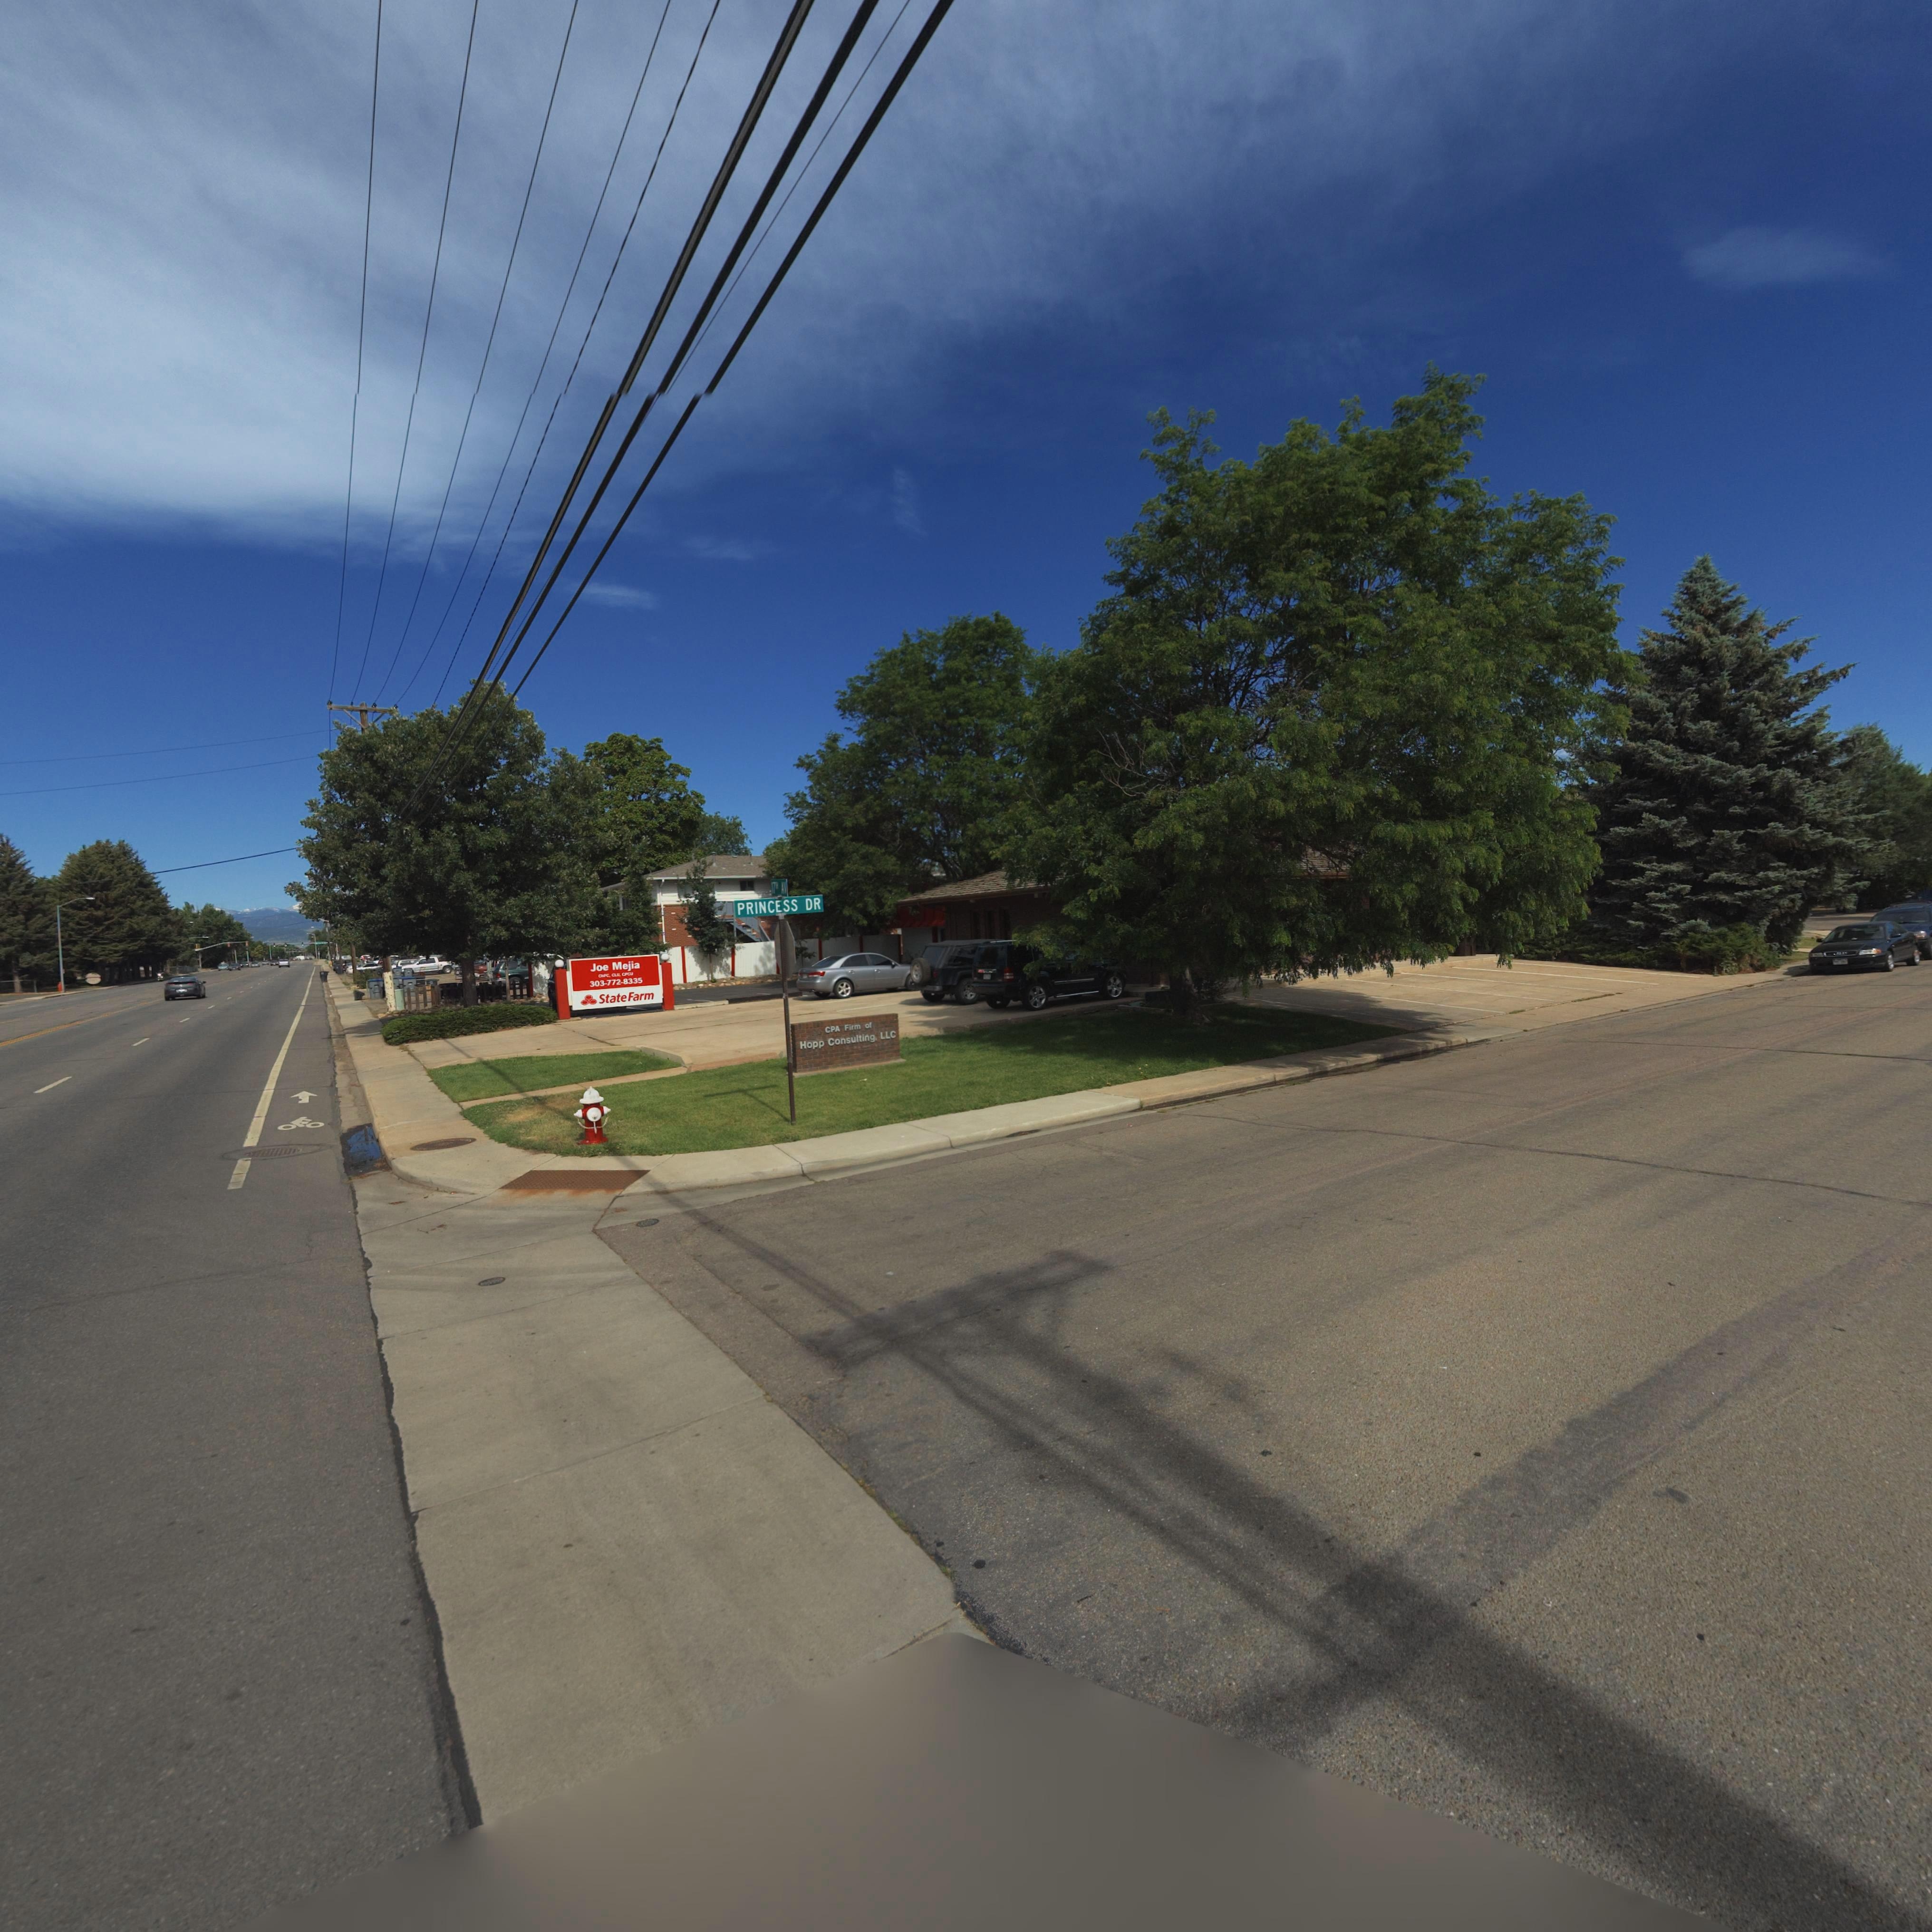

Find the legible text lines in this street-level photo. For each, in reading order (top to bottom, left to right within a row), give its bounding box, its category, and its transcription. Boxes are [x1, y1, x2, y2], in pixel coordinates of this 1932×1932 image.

[771, 881, 786, 894] StreetName: 17** AV
[737, 897, 821, 916] StreetName: PRINCESS DR
[598, 991, 654, 1004] BusinessName: State Farm
[800, 1030, 897, 1050] BusinessName: Hopp Consulting, LLC